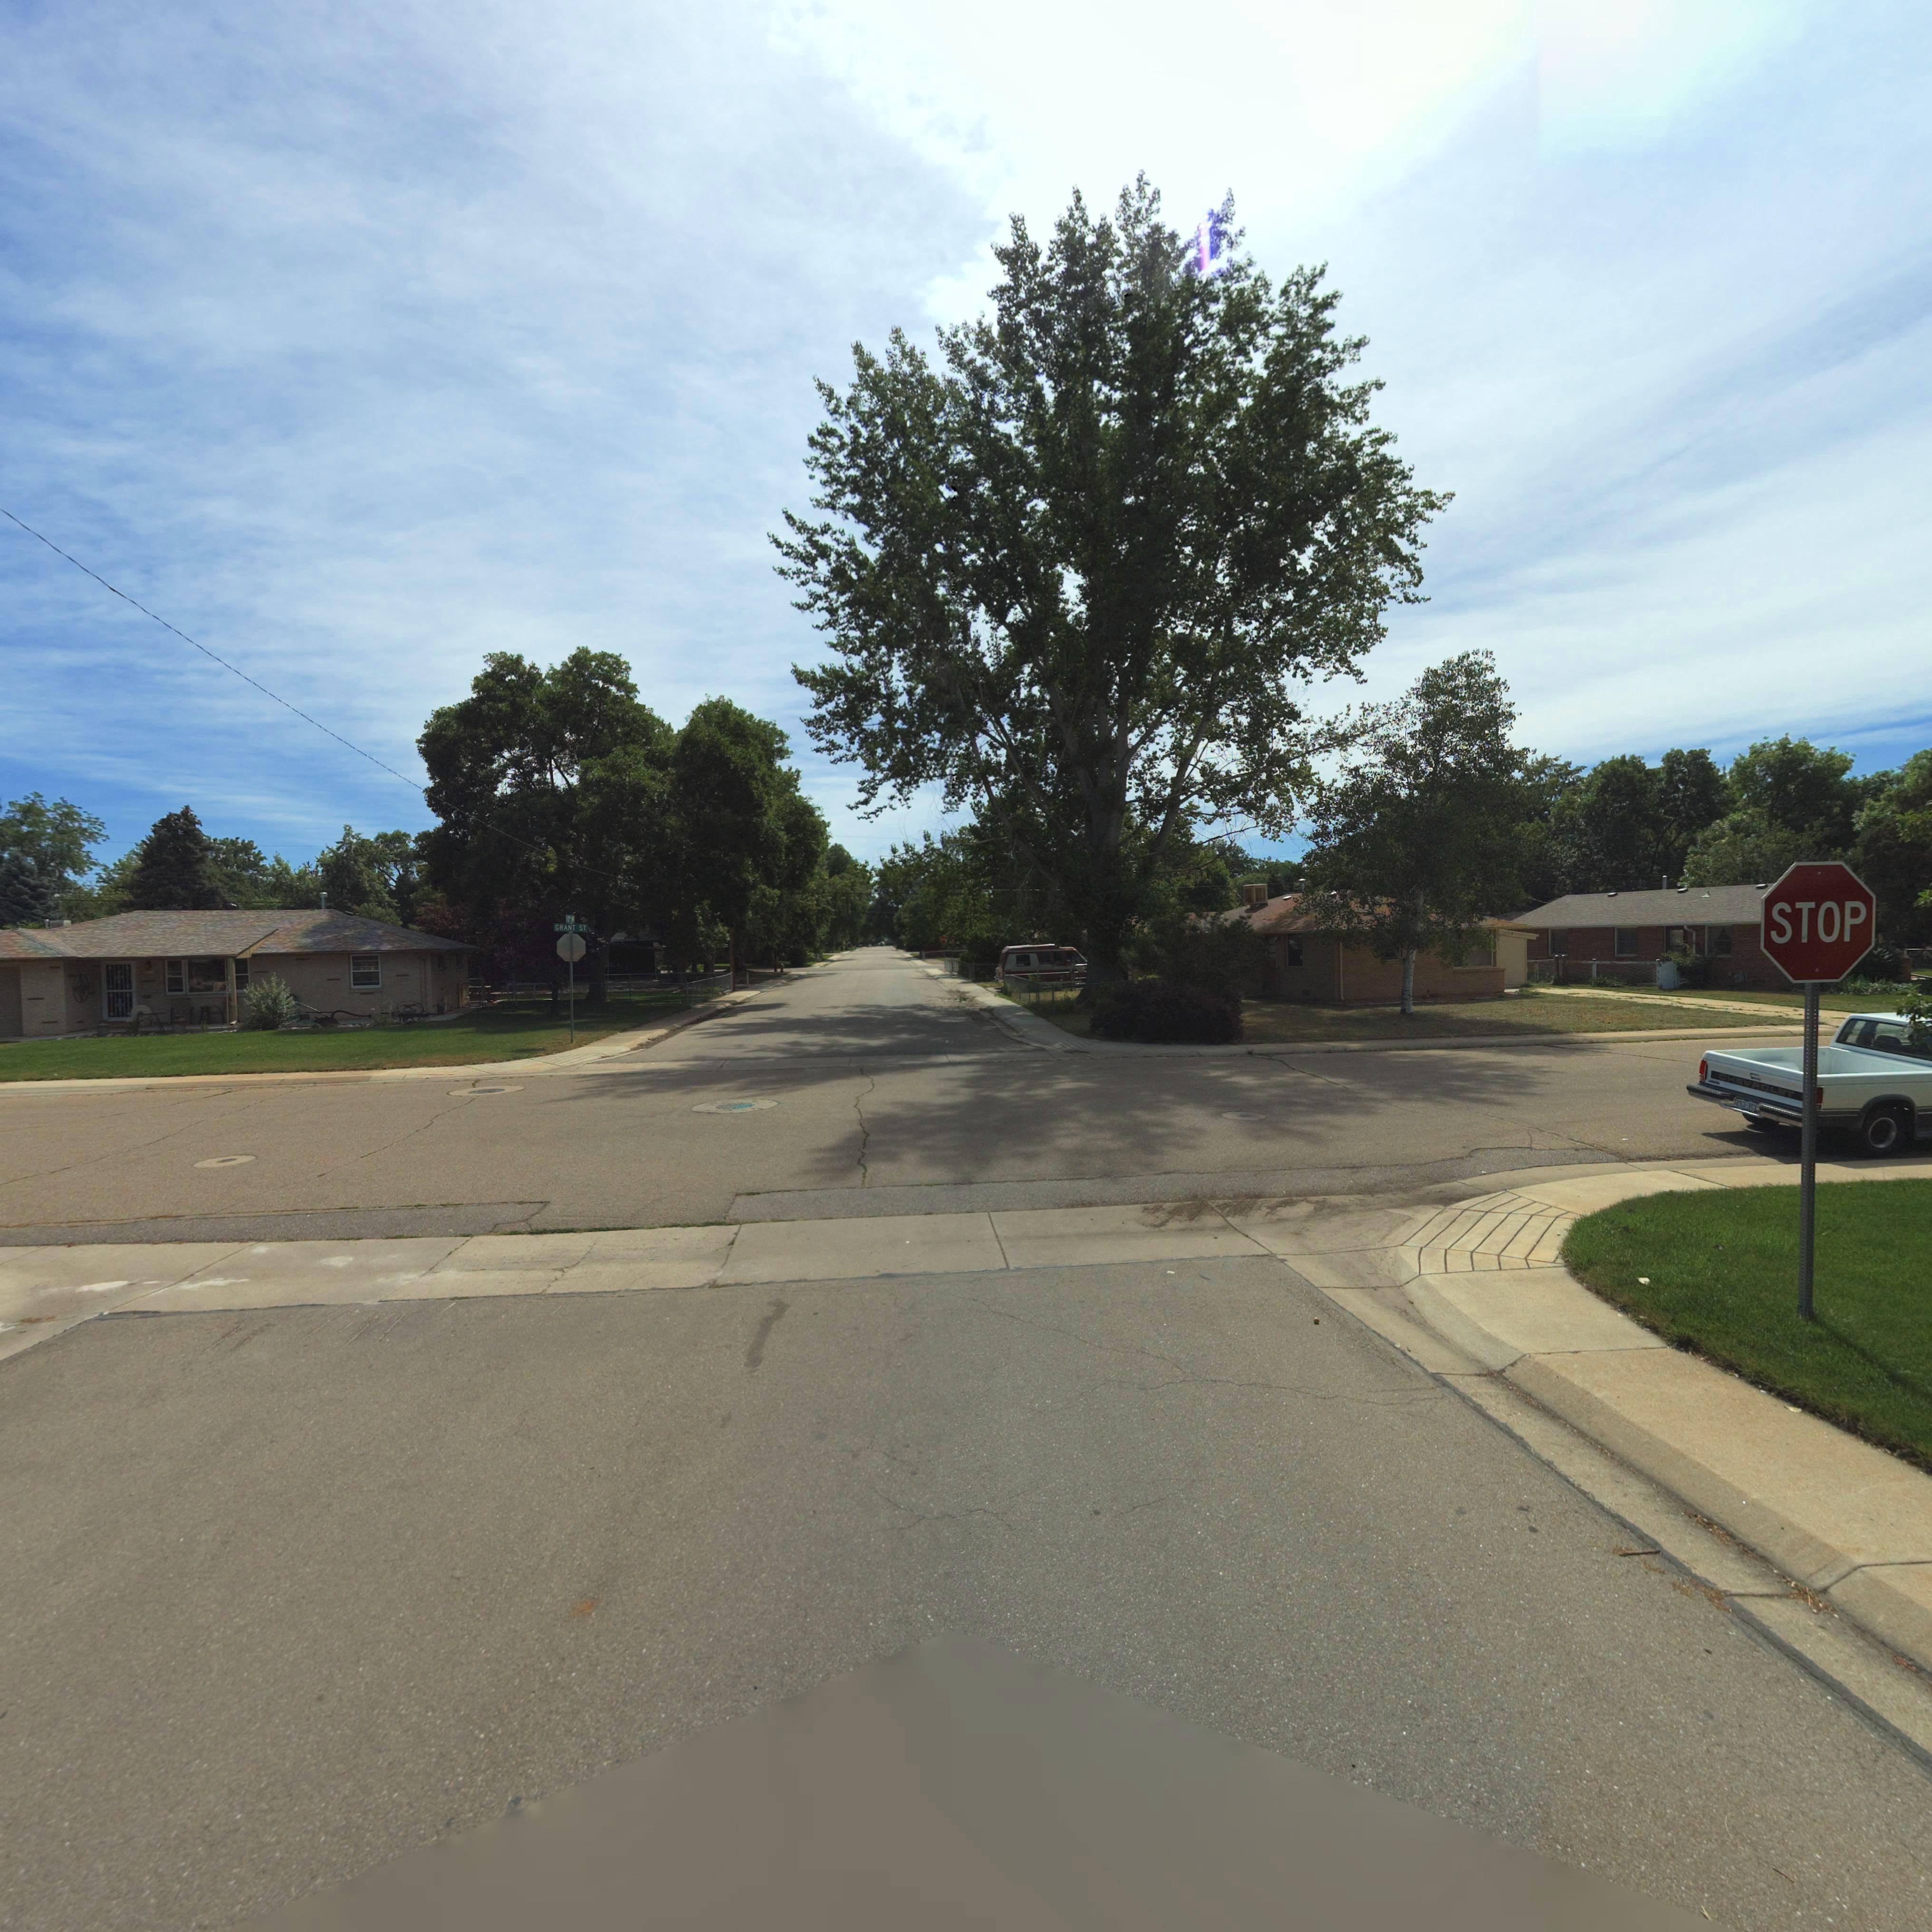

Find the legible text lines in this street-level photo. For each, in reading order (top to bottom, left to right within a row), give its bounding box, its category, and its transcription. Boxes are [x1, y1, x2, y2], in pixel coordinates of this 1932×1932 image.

[566, 915, 574, 922] StreetName: 12* **
[554, 924, 586, 931] StreetName: GRANT ST